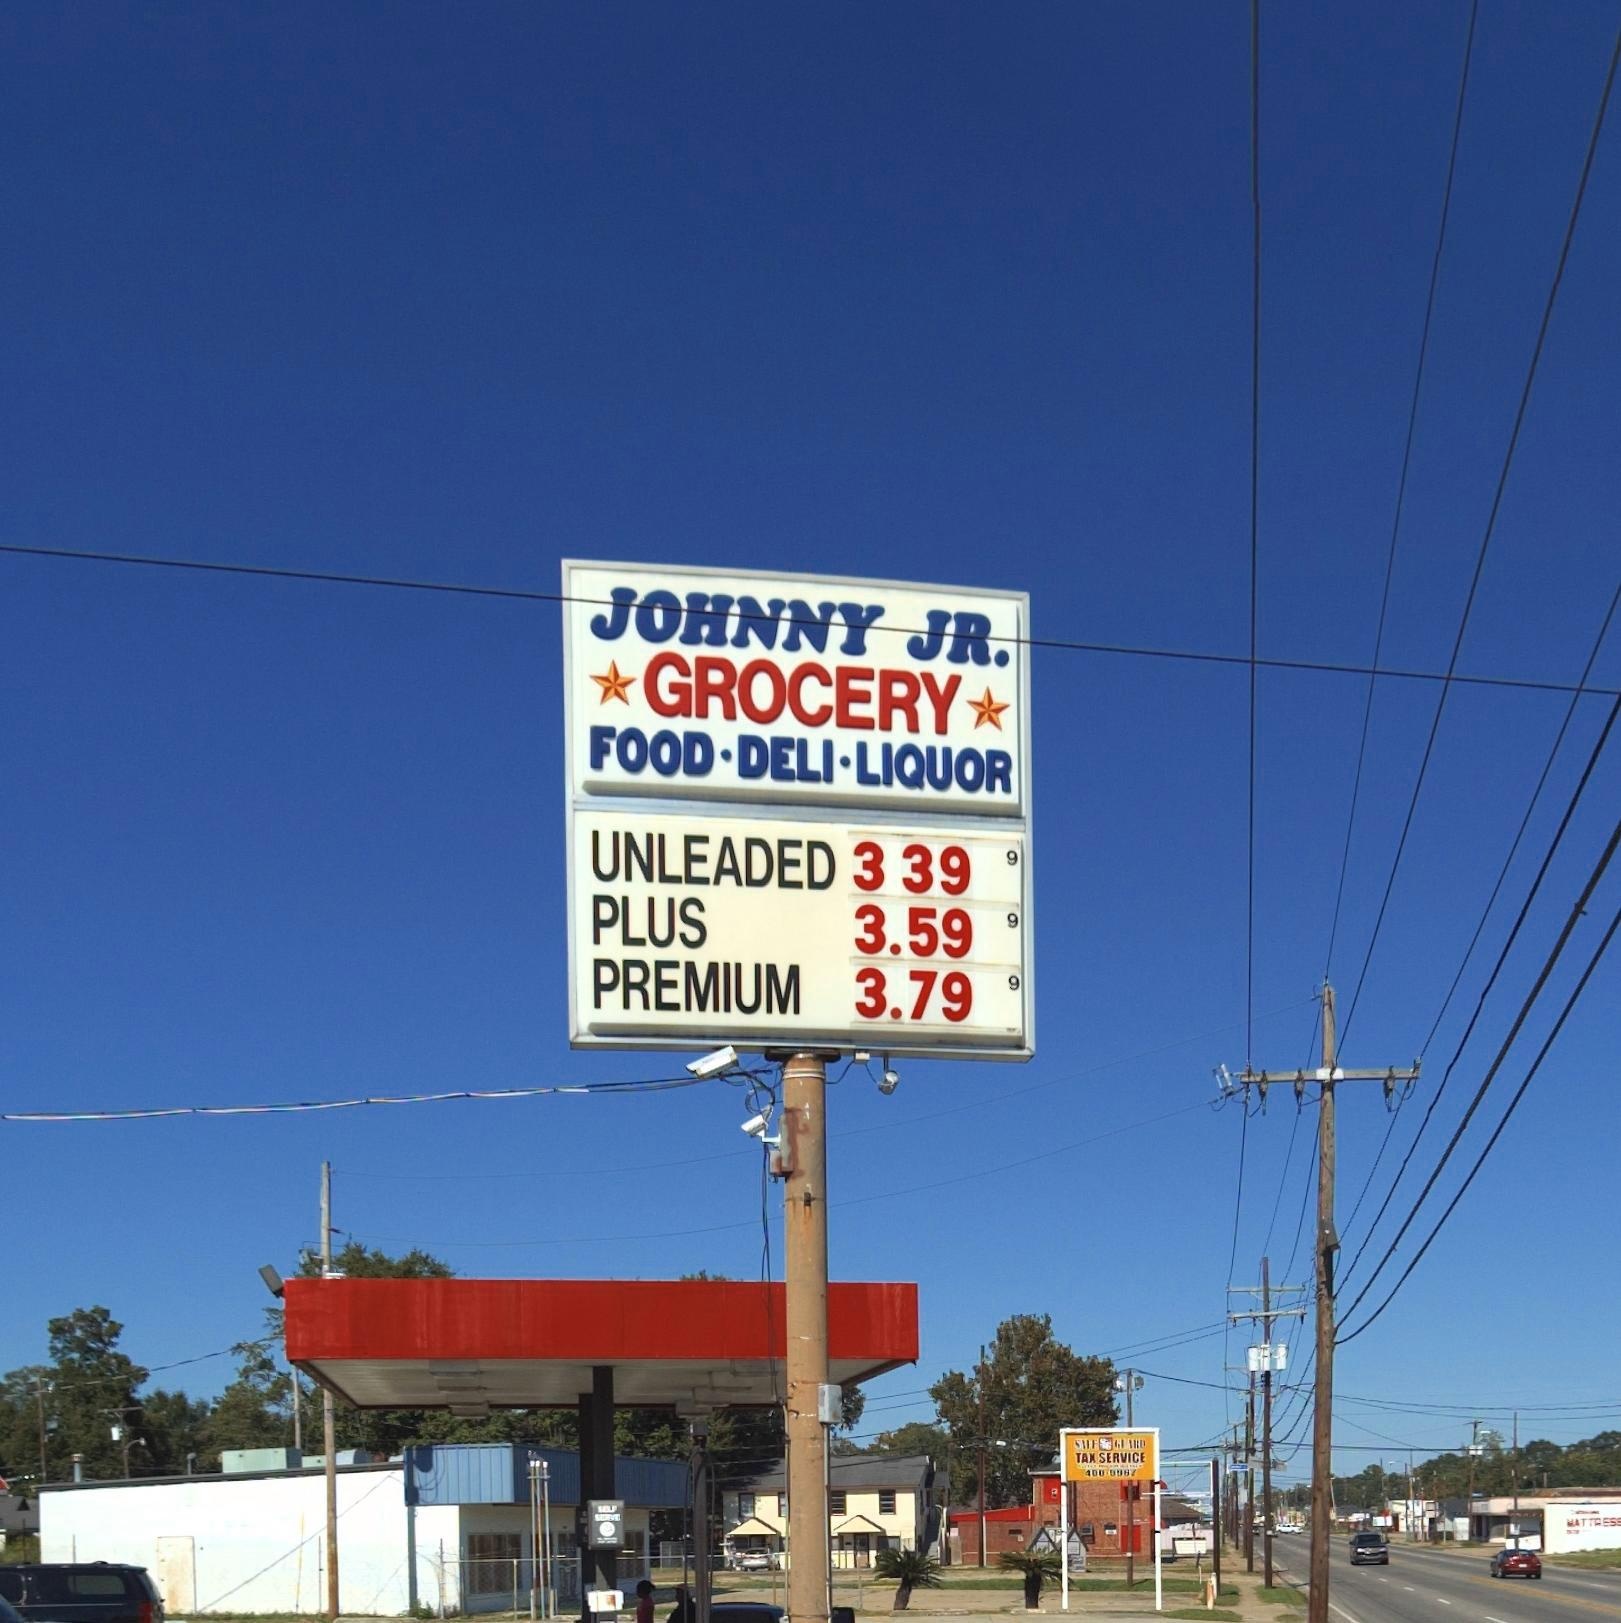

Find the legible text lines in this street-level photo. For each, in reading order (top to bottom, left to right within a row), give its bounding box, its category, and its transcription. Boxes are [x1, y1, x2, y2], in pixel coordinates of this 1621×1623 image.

[587, 583, 1016, 670] BusinessName: JOHNNY JR.
[640, 645, 971, 741] BusinessName: GROCERY
[586, 719, 1018, 799] None: FOOD*DELI*LIQUOR
[587, 826, 1023, 907] None: UNLEADED 3 99 9
[587, 889, 1024, 969] None: PLUS 3.59 9
[589, 953, 1024, 1032] None: PREMIUM 3.79 9
[1072, 1437, 1099, 1451] BusinessName: SAFE
[1073, 1450, 1147, 1465] BusinessName: TAX SERVICE
[1112, 1437, 1147, 1450] BusinessName: GUARD
[594, 1502, 619, 1515] None: SELF
[1564, 1515, 1619, 1529] None: MATTRES